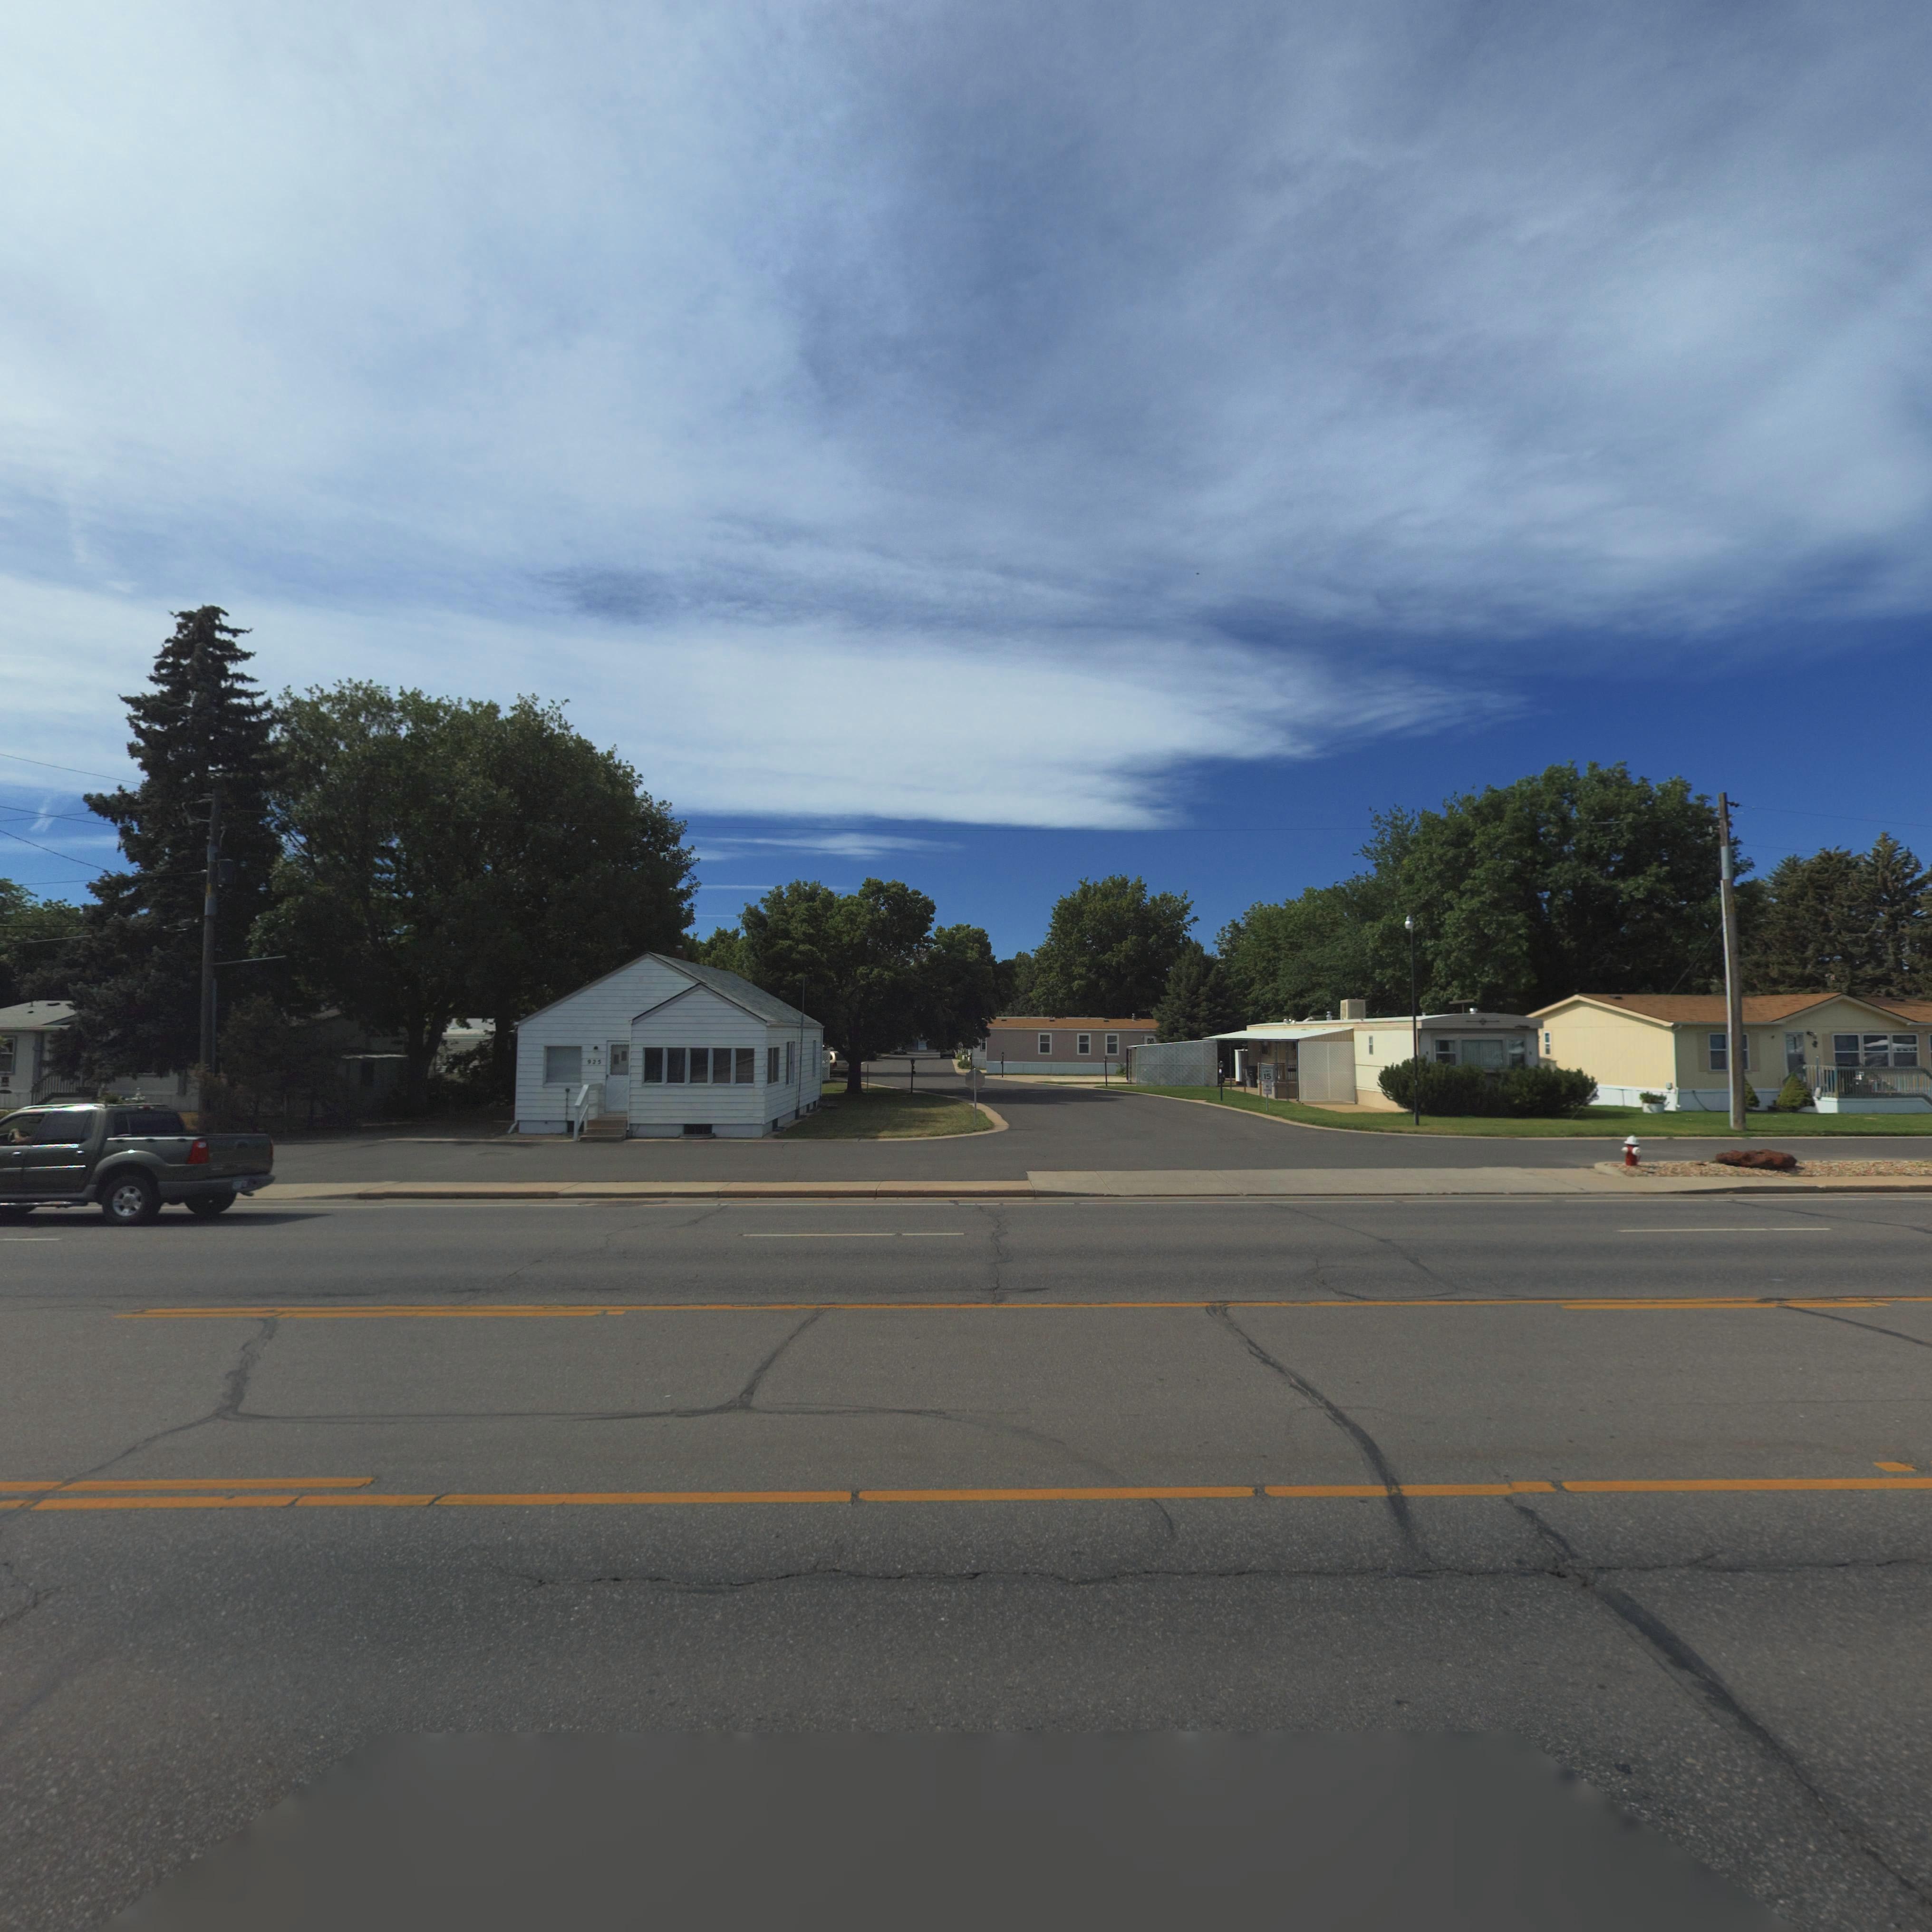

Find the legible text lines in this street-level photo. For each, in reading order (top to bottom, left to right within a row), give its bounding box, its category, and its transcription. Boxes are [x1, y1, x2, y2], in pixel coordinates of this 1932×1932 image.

[587, 1059, 601, 1065] StreetNumber: 925